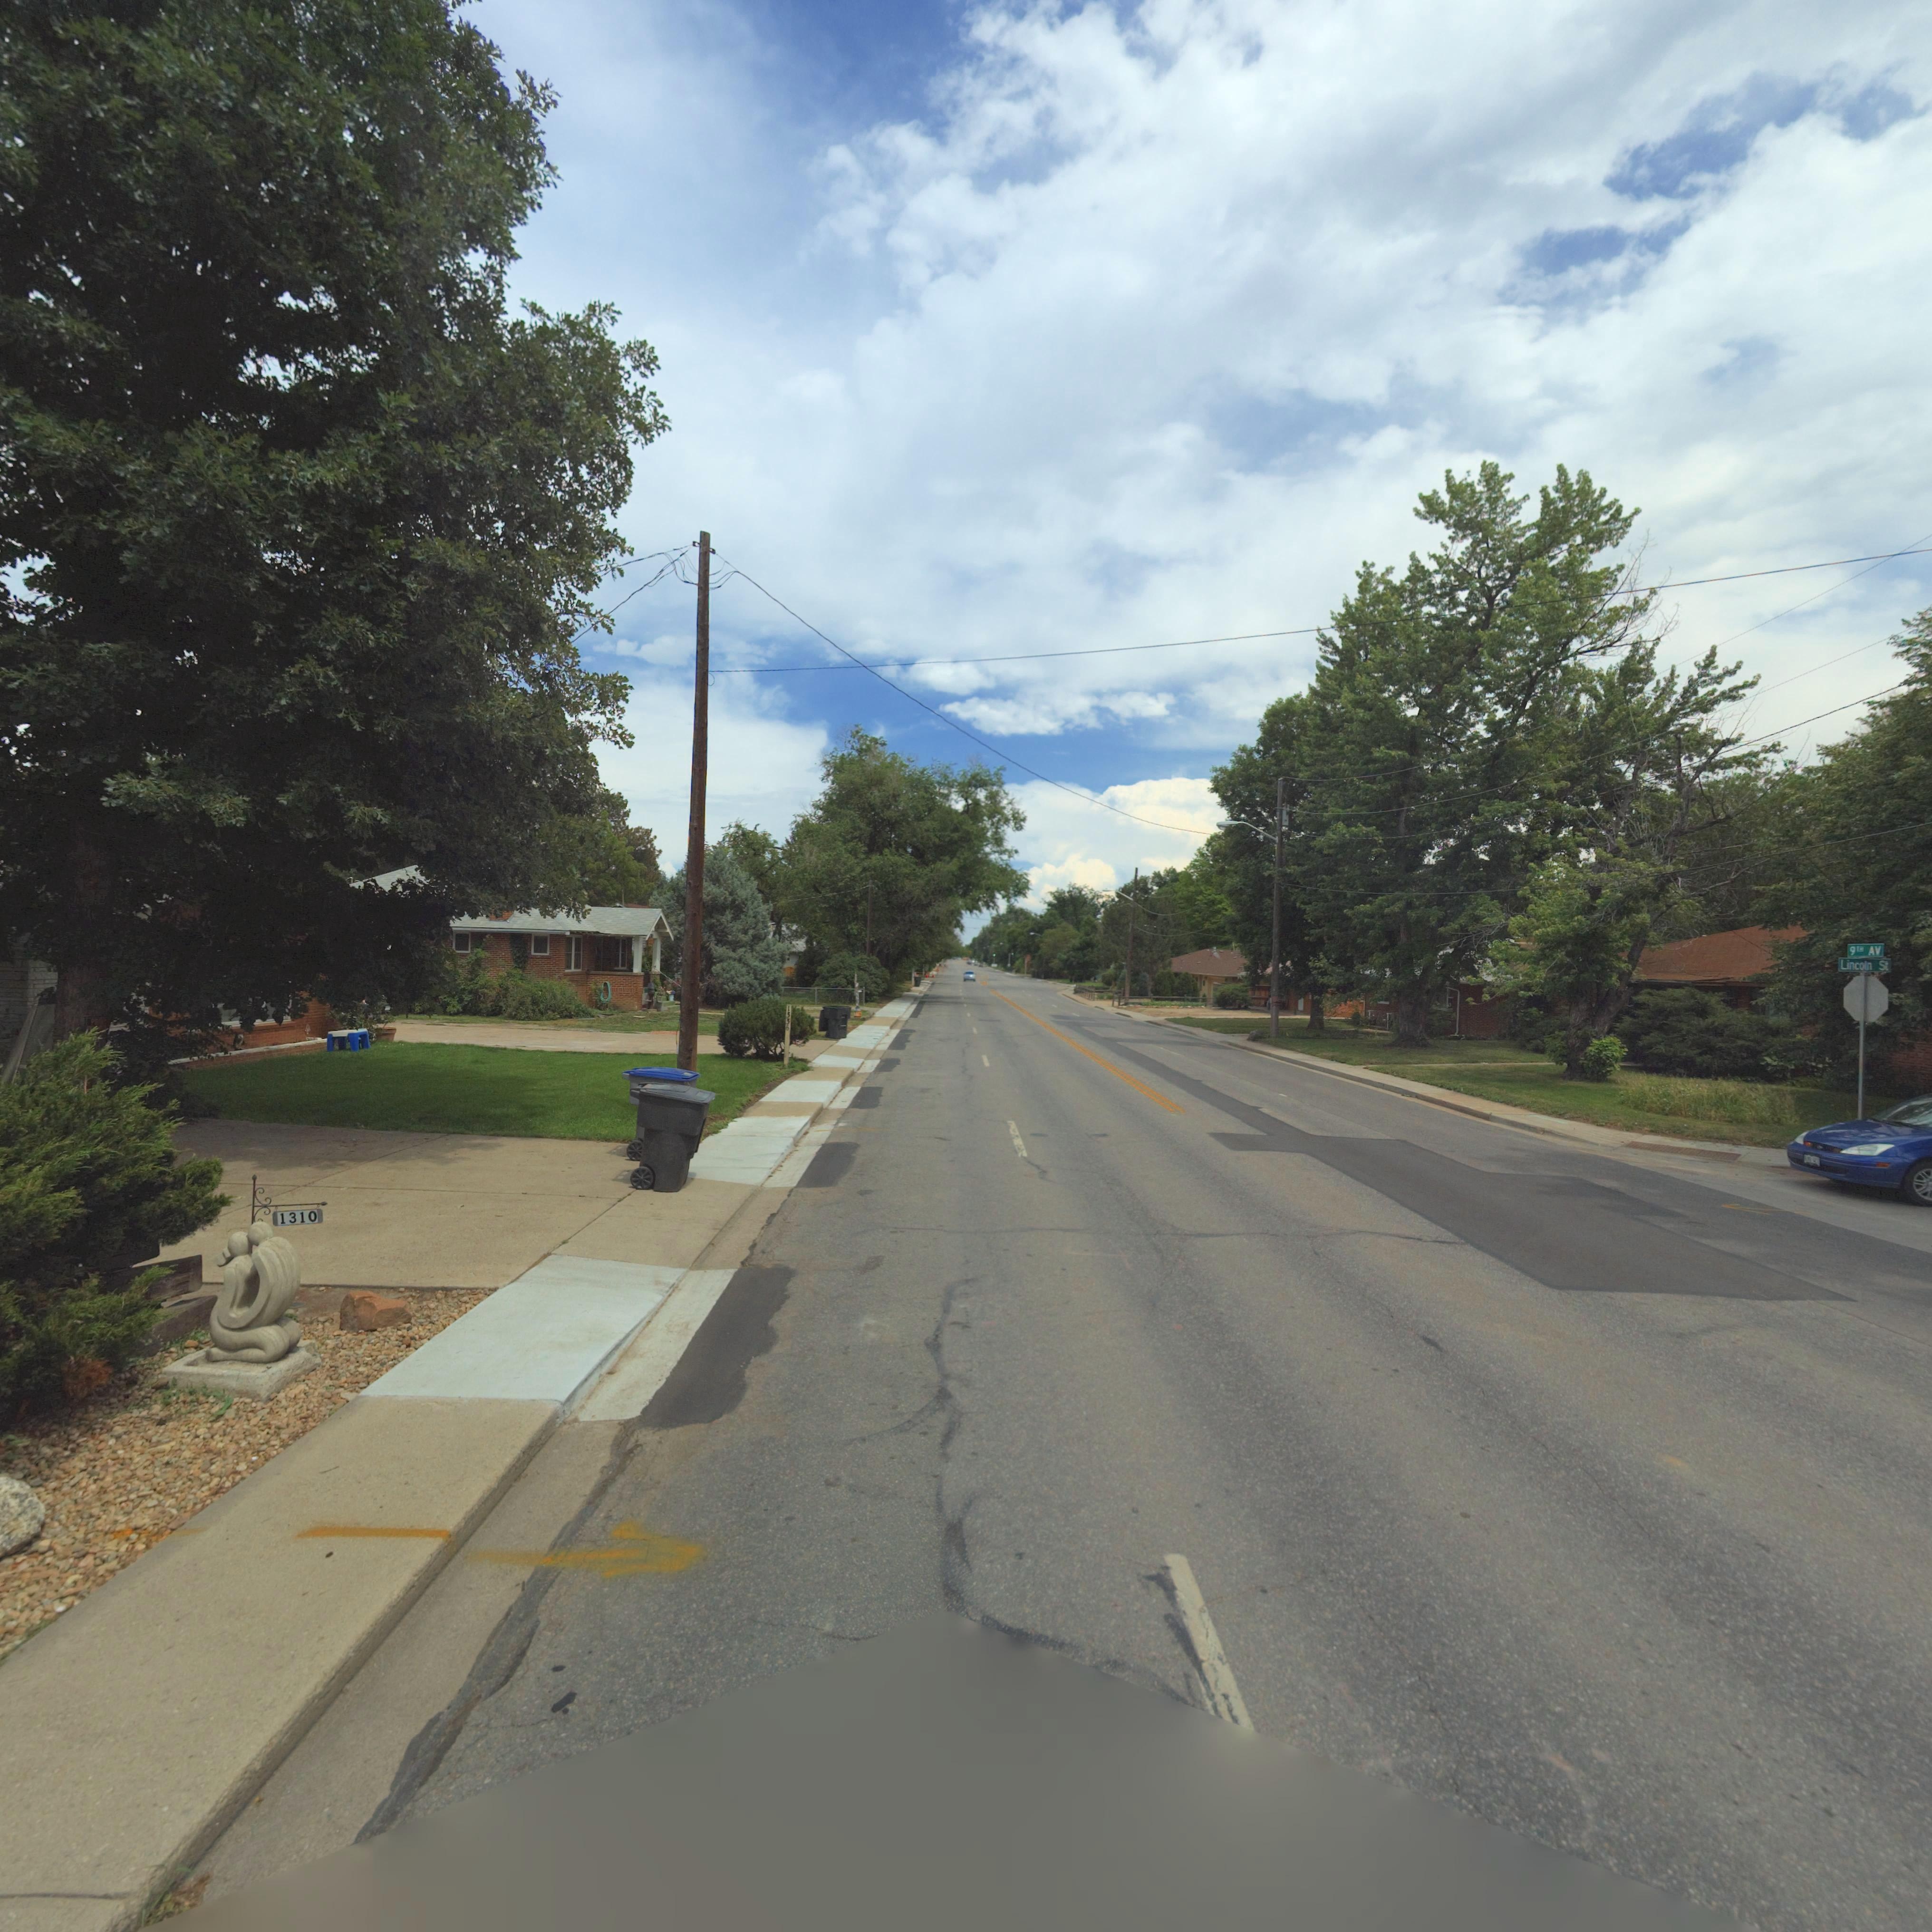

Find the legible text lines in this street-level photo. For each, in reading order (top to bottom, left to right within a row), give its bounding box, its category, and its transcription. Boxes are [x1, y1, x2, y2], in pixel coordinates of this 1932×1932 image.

[1849, 945, 1882, 956] StreetName: 9TH AV
[1840, 959, 1889, 971] StreetName: Lincoln St
[786, 1005, 790, 1031] StreetNumber: 1336
[280, 1209, 317, 1224] StreetNumber: 1310